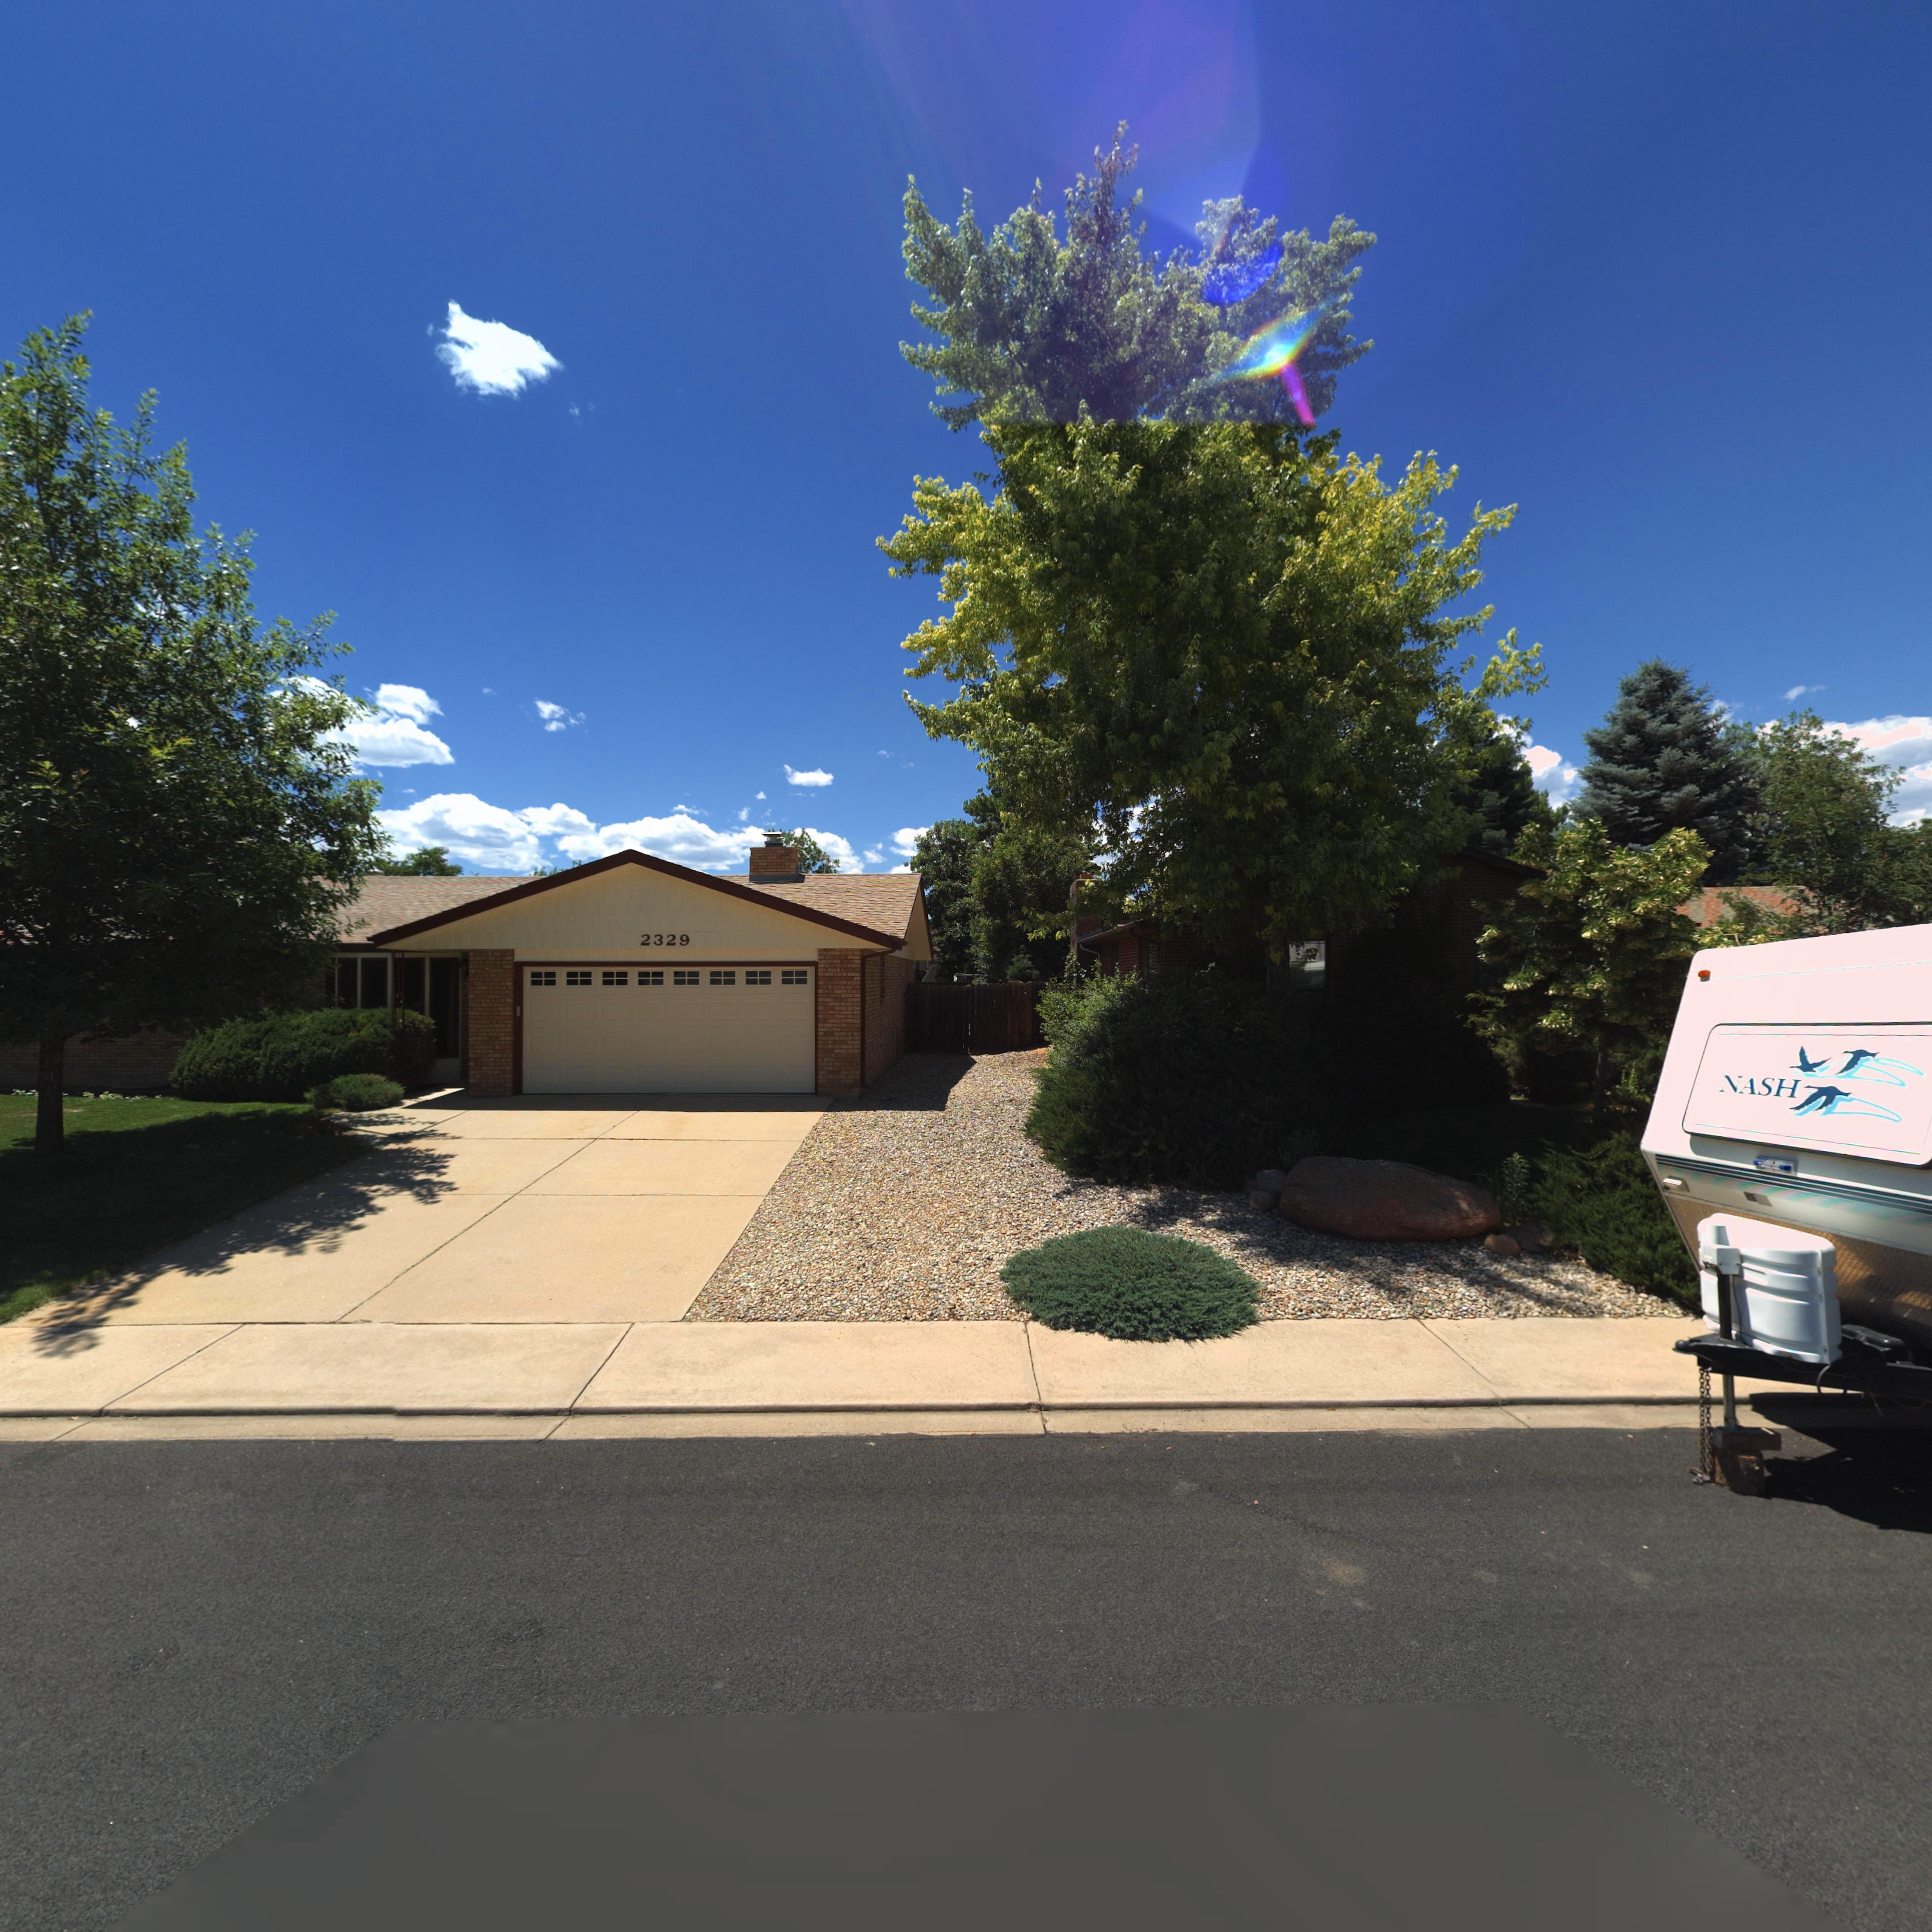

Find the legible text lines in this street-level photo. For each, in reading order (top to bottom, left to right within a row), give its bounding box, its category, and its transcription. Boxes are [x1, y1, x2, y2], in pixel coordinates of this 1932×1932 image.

[641, 934, 689, 946] StreetNumber: 2329